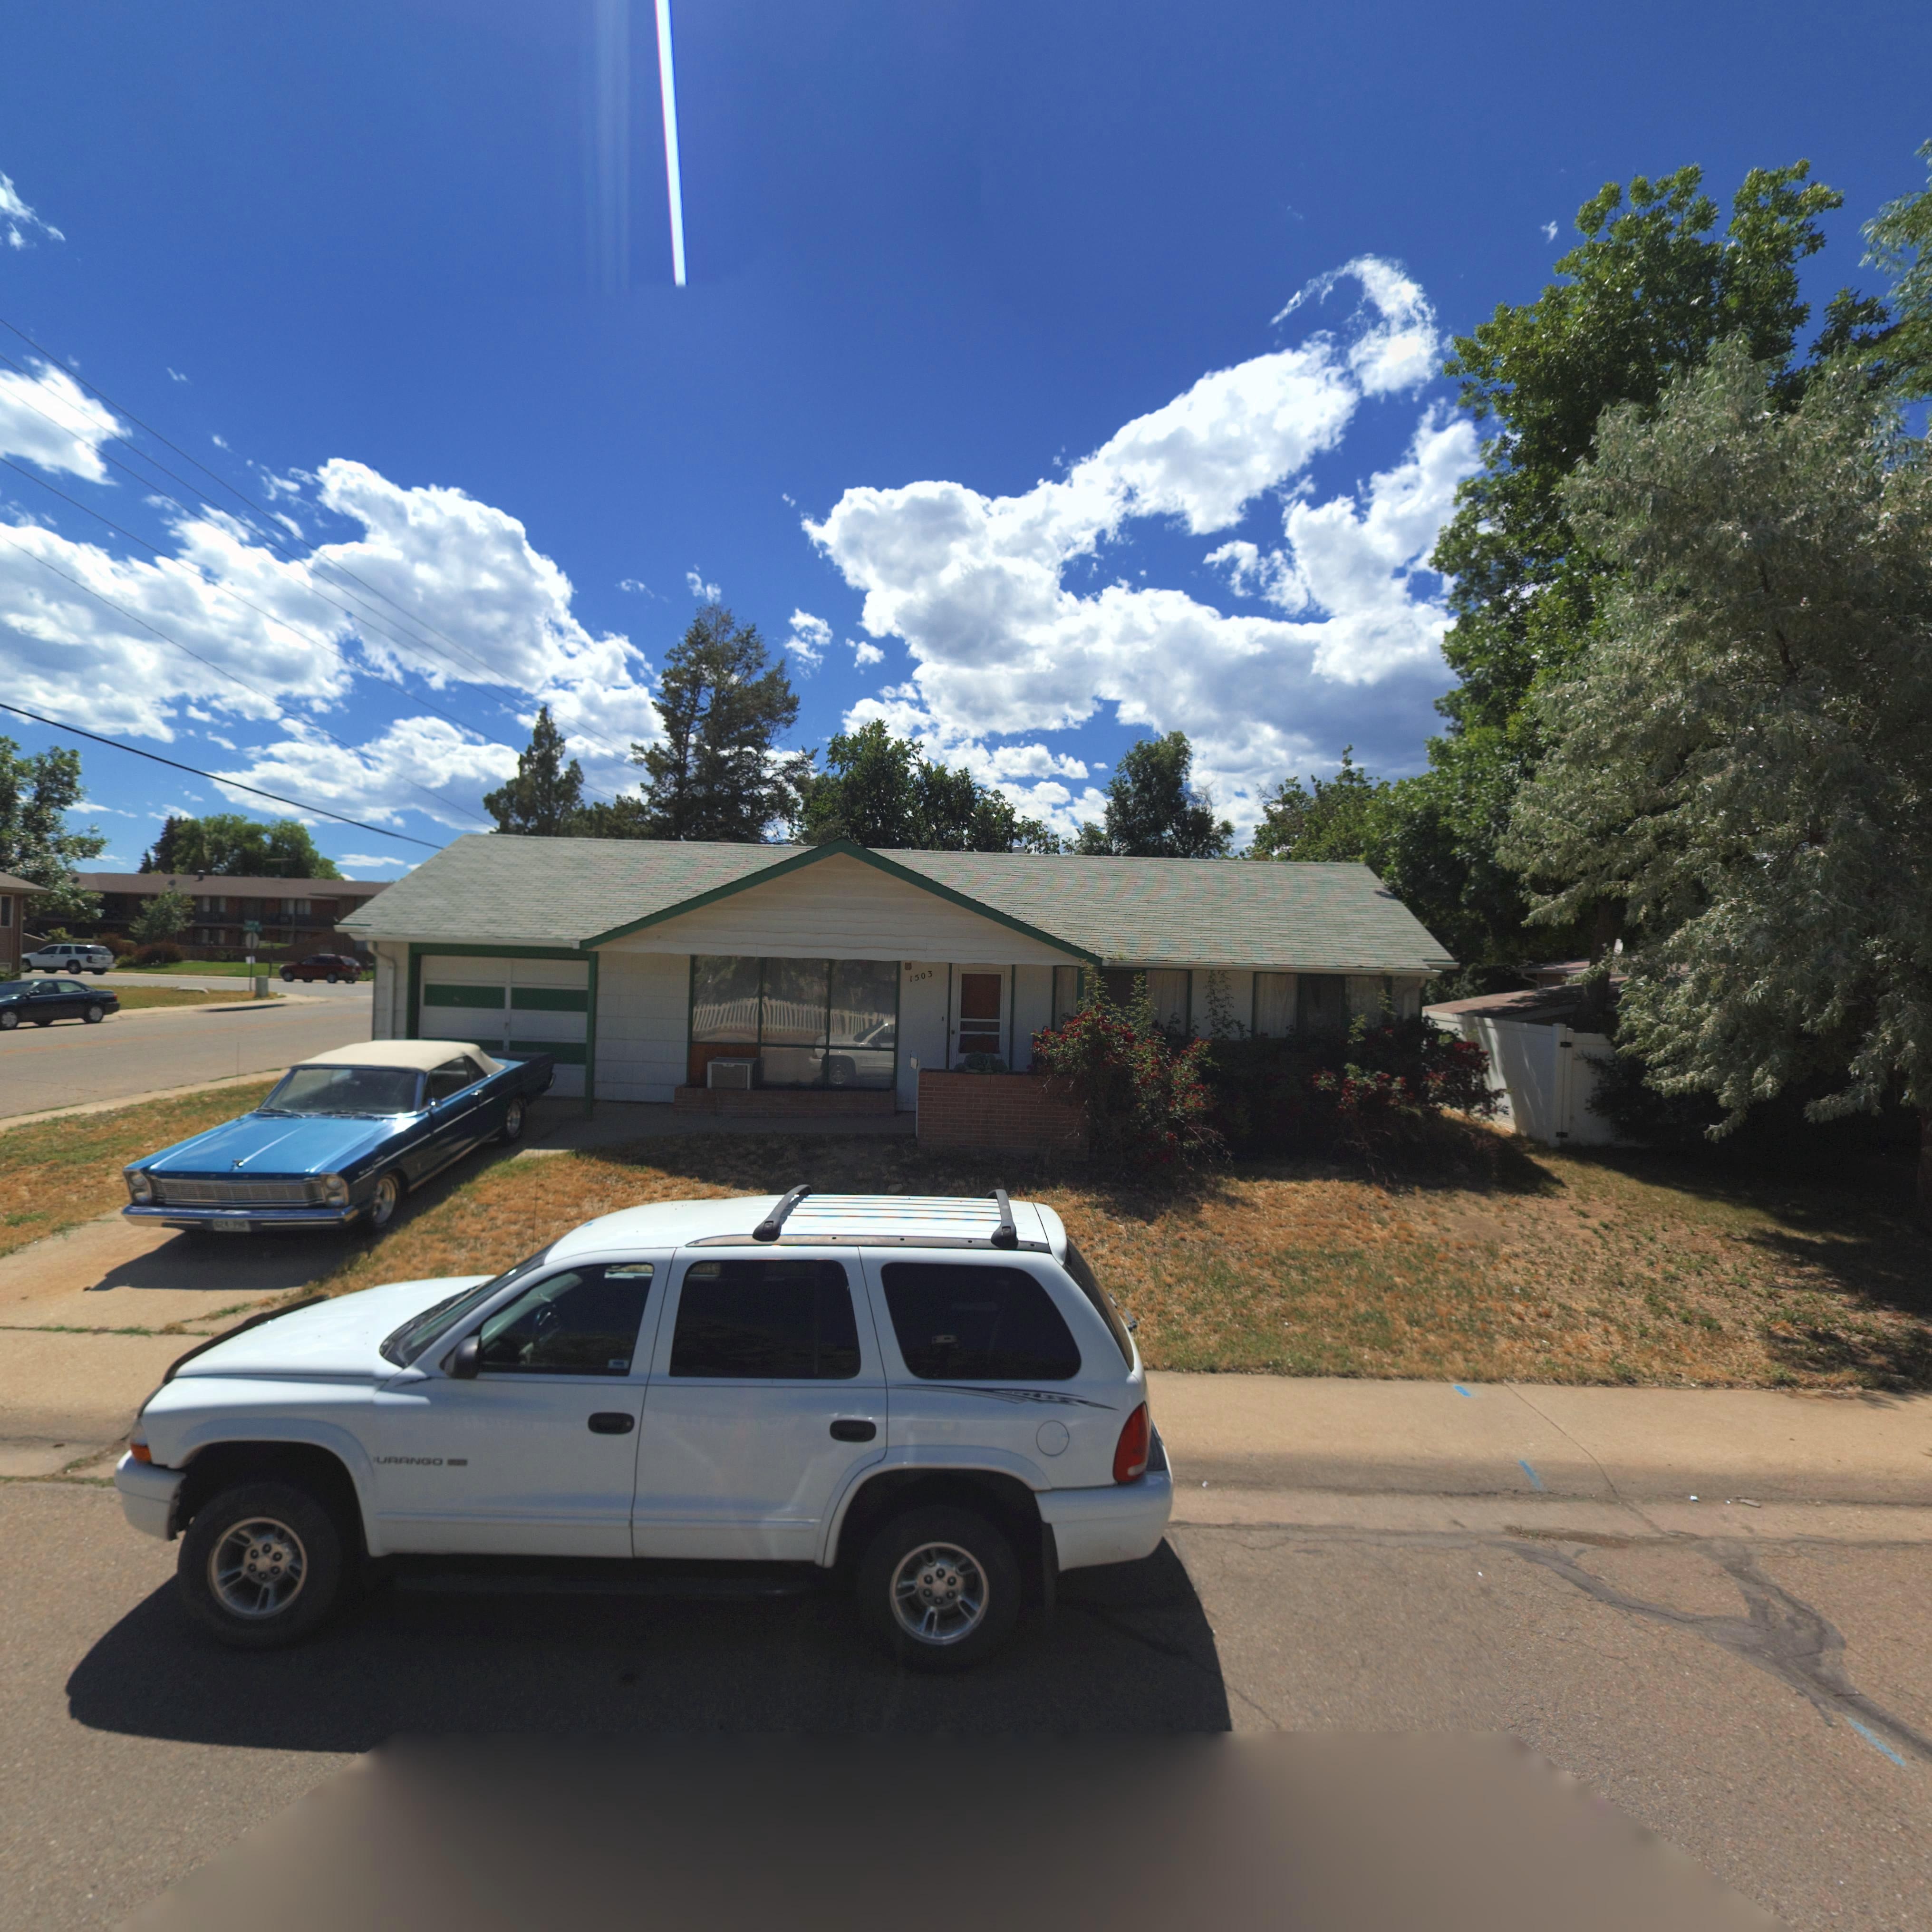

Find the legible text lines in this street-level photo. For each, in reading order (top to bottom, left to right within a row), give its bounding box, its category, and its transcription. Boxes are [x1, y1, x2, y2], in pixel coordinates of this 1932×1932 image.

[909, 970, 932, 983] StreetNumber: 1503